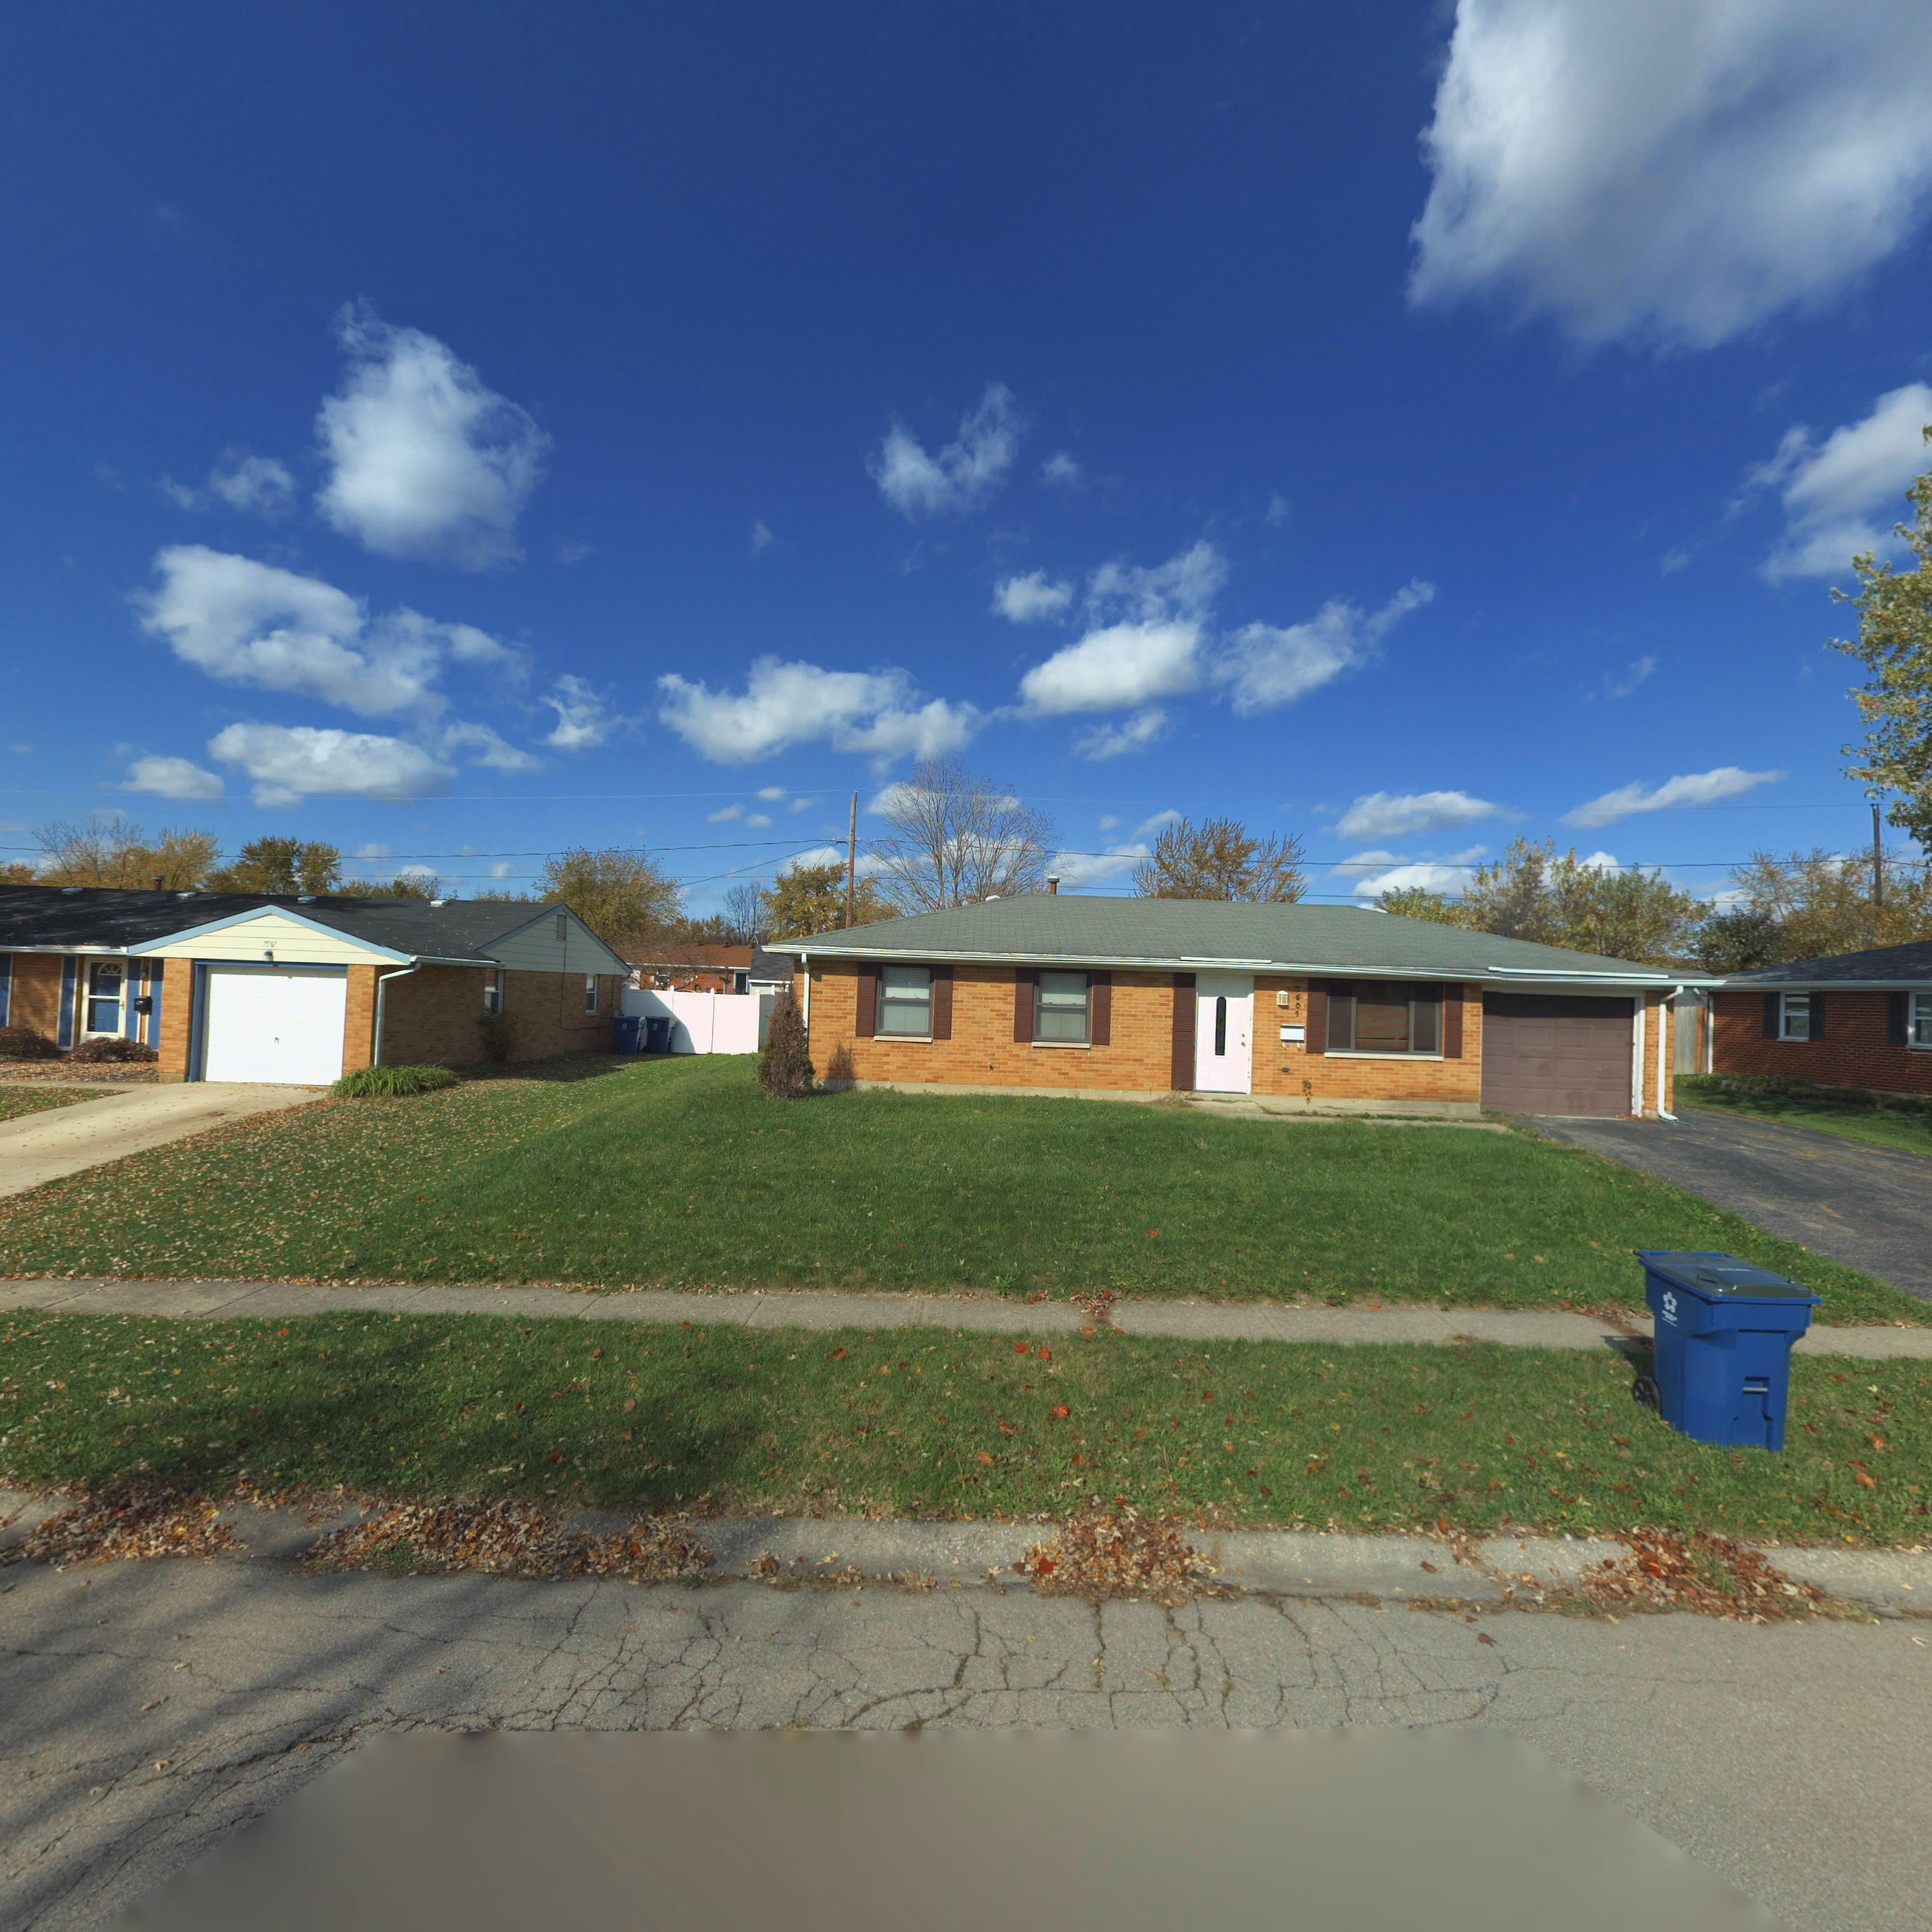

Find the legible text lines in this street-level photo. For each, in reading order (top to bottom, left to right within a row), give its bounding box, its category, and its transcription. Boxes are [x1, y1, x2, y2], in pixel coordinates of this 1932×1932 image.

[261, 940, 278, 948] StreetNumber: 7587
[1294, 985, 1301, 1018] StreetNumber: 7601